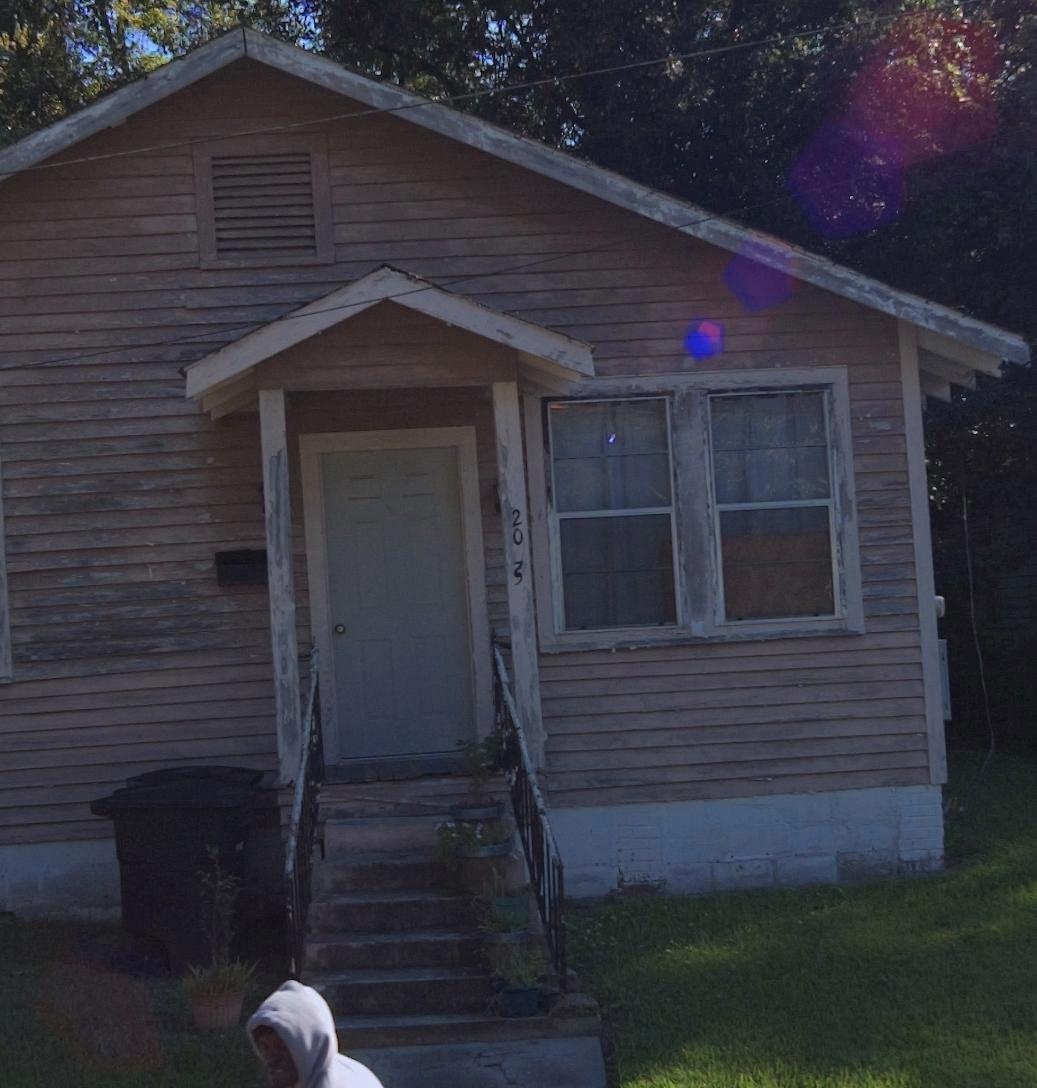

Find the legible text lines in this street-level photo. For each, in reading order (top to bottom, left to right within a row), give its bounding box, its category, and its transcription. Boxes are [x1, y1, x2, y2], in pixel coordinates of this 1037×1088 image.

[509, 505, 526, 590] StreetNumber: 20*5